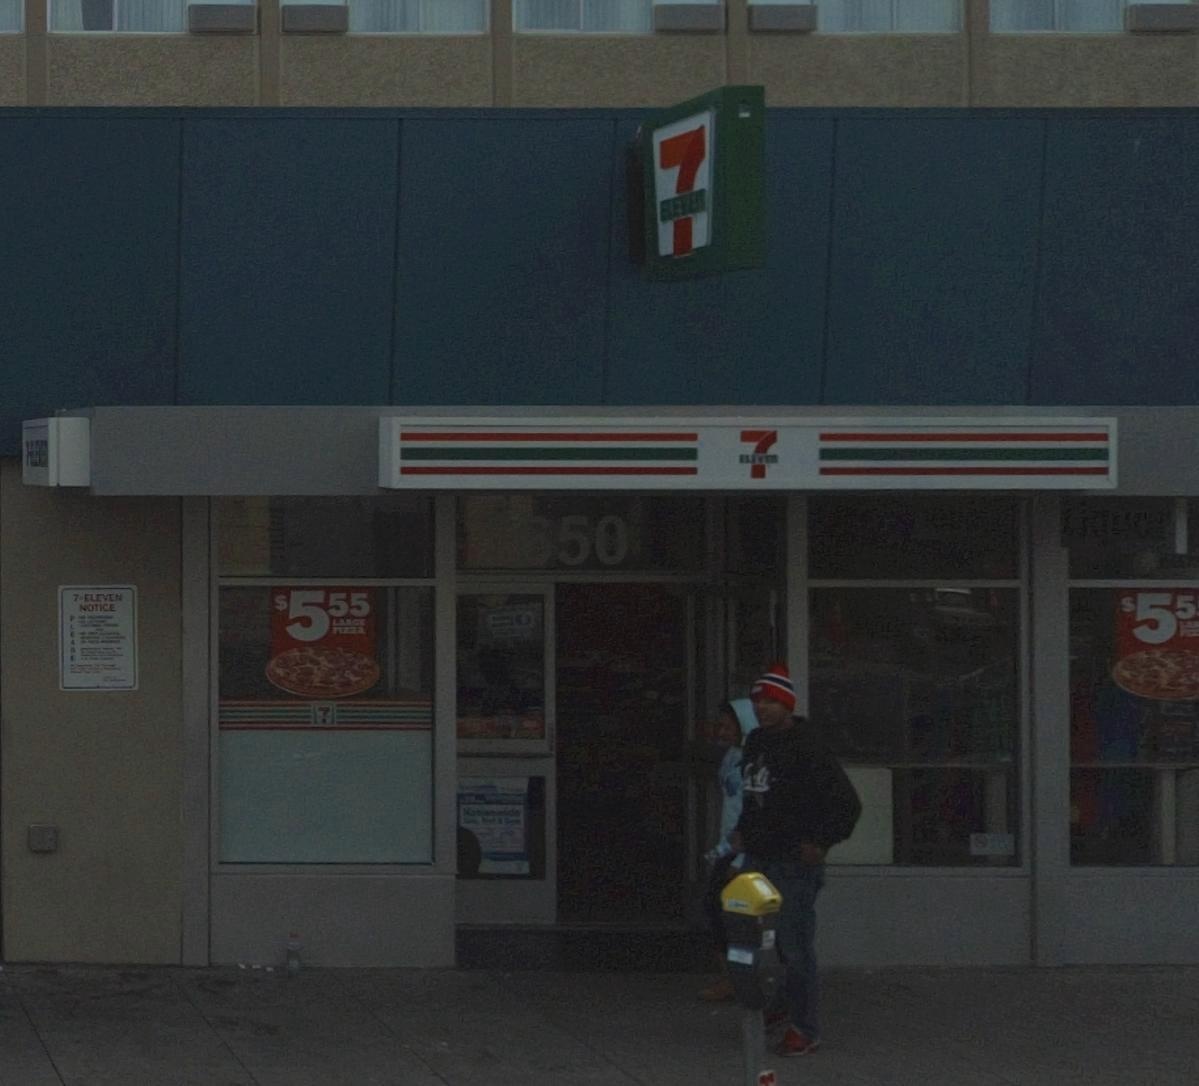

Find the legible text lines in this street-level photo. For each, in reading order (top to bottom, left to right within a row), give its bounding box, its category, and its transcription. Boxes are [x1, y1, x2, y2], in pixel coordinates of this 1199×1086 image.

[658, 186, 708, 224] BusinessName: ELEVEN
[738, 452, 773, 466] None: EL*VE
[555, 509, 633, 571] None: 50
[68, 613, 76, 651] None: PLE
[71, 592, 124, 604] None: 7*ELEVEN
[78, 602, 117, 614] None: NOTICE
[283, 588, 335, 646] None: 7*ELEVEN
[329, 626, 368, 636] None: PIZZA
[331, 617, 367, 628] None: LARGE
[326, 589, 374, 620] None: 55
[512, 610, 534, 631] None: O
[1128, 587, 1199, 652] None: 55
[316, 705, 333, 727] BusinessName: 7
[751, 761, 771, 791] None: li
[461, 806, 482, 819] None: Nat